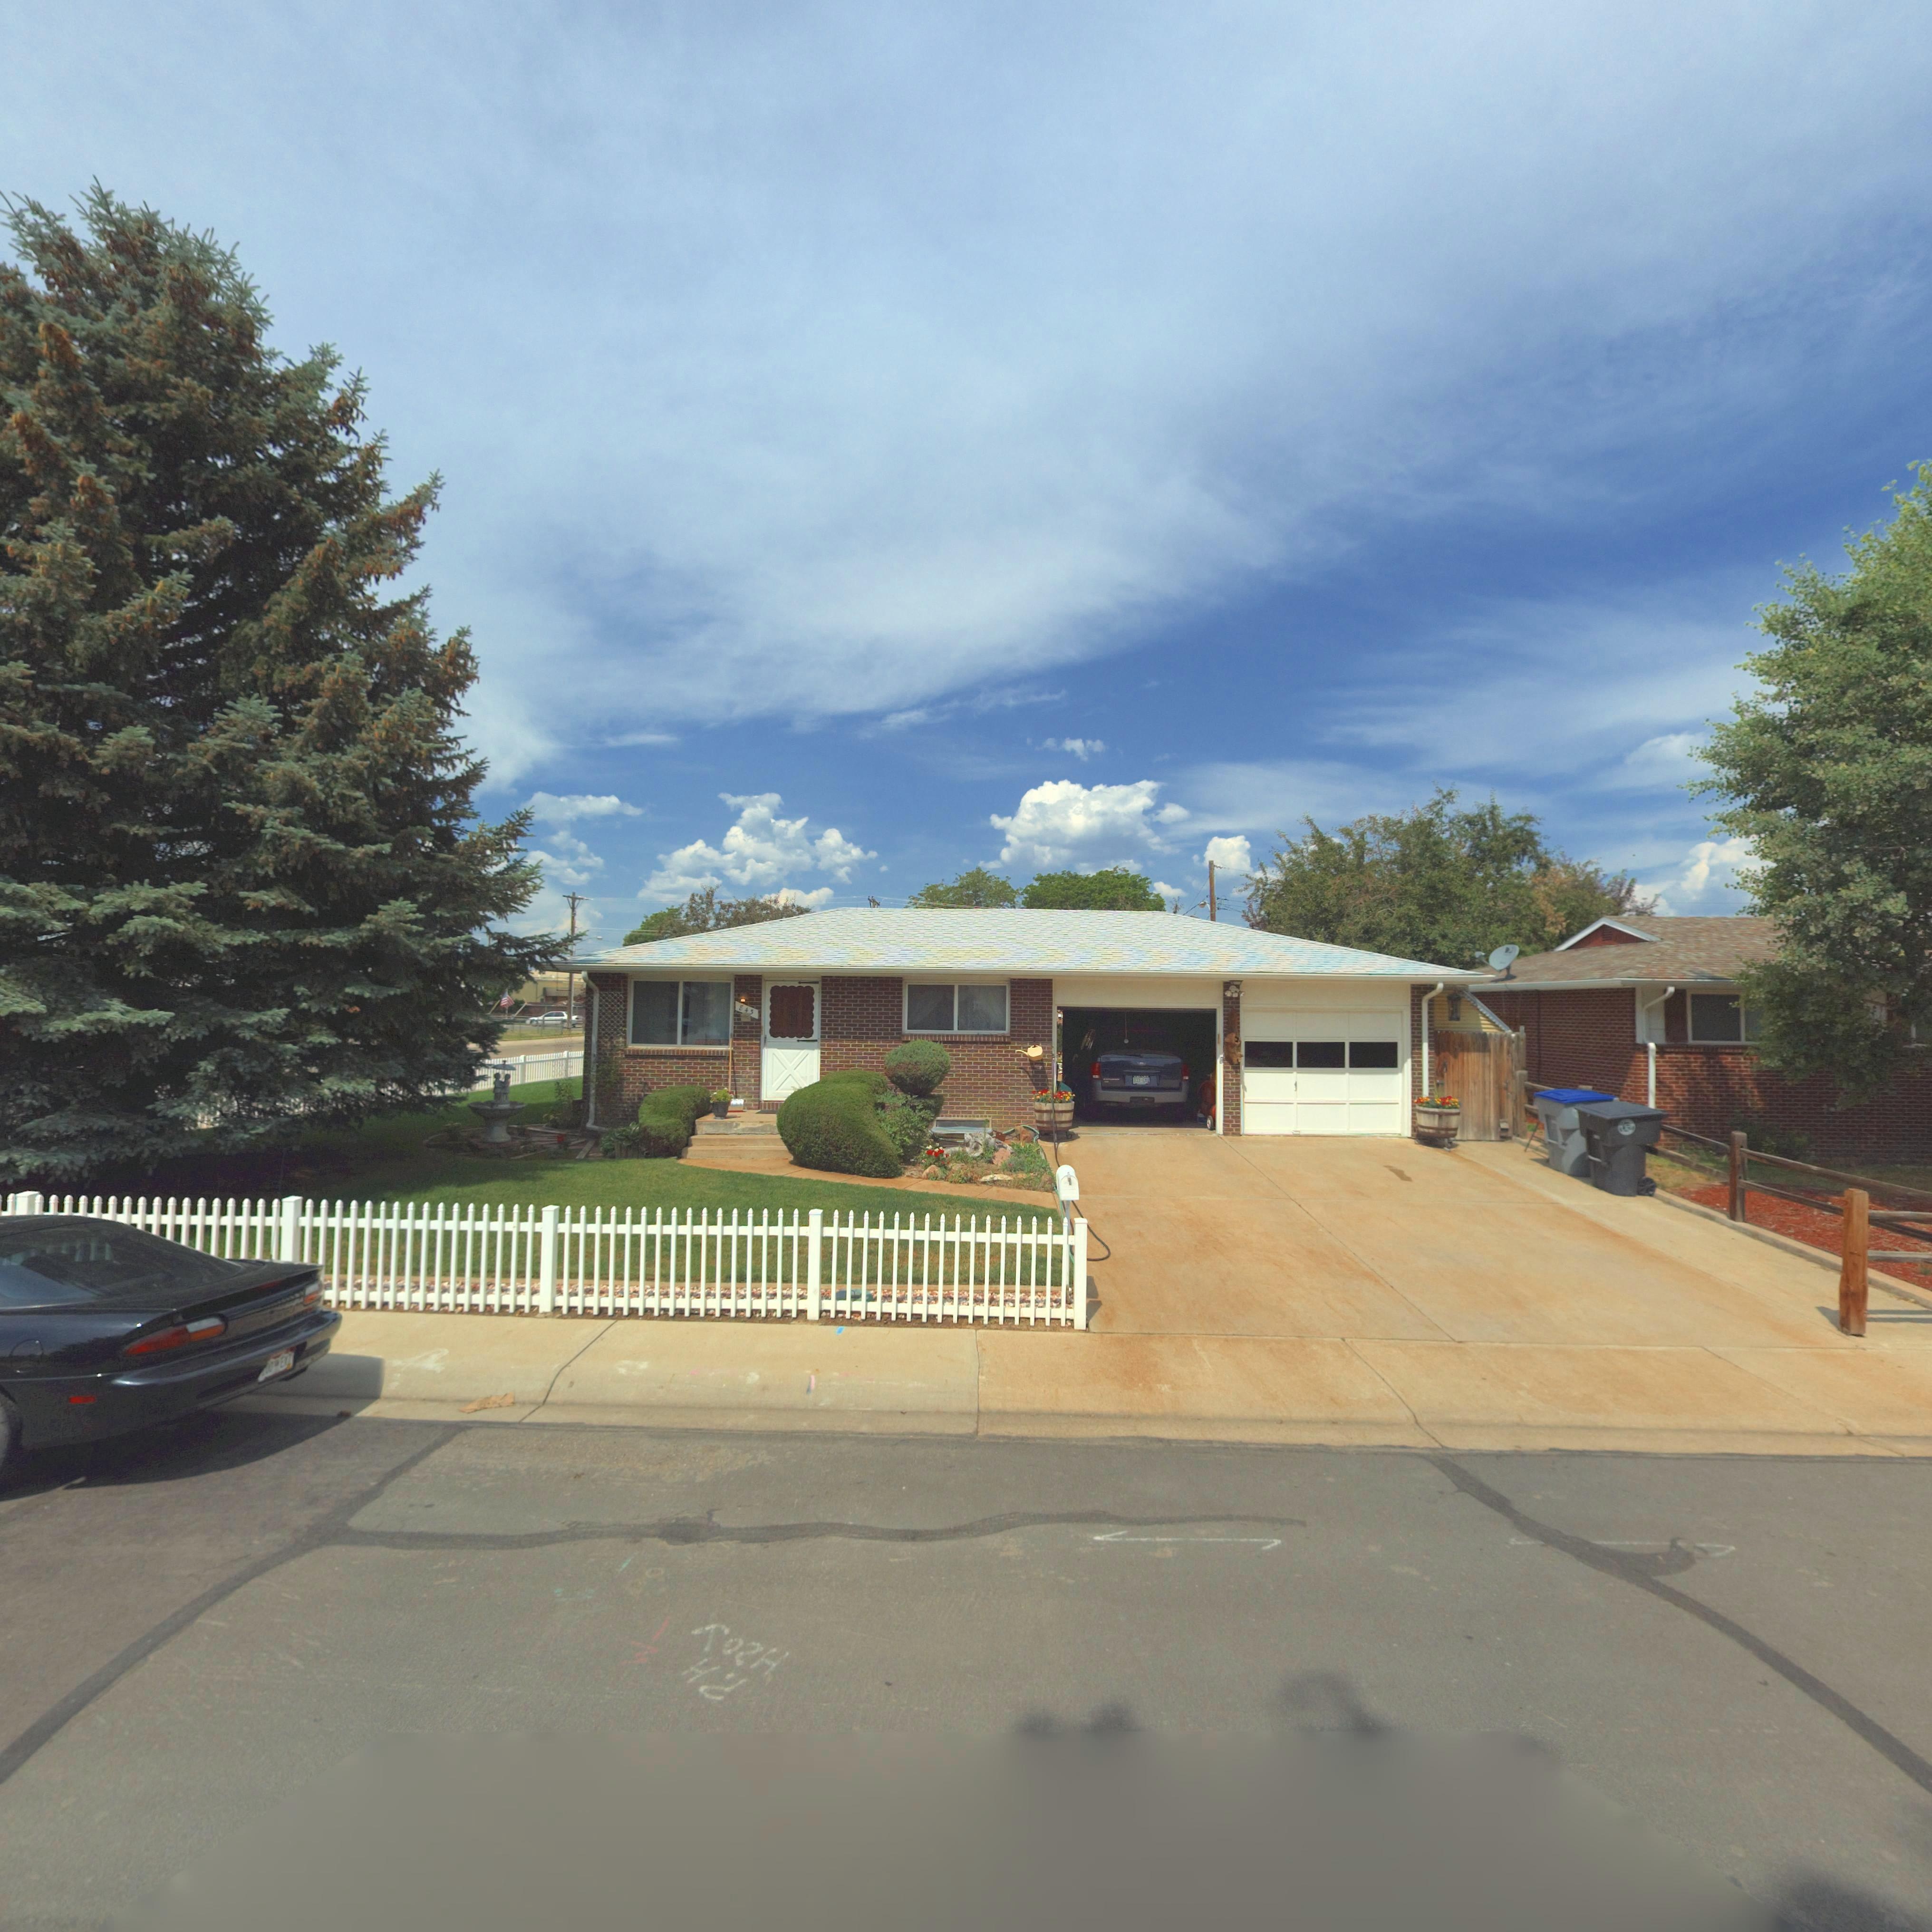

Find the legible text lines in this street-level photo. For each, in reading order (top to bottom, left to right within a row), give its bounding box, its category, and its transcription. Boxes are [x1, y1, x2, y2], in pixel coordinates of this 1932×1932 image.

[738, 1005, 753, 1015] StreetNumber: 843